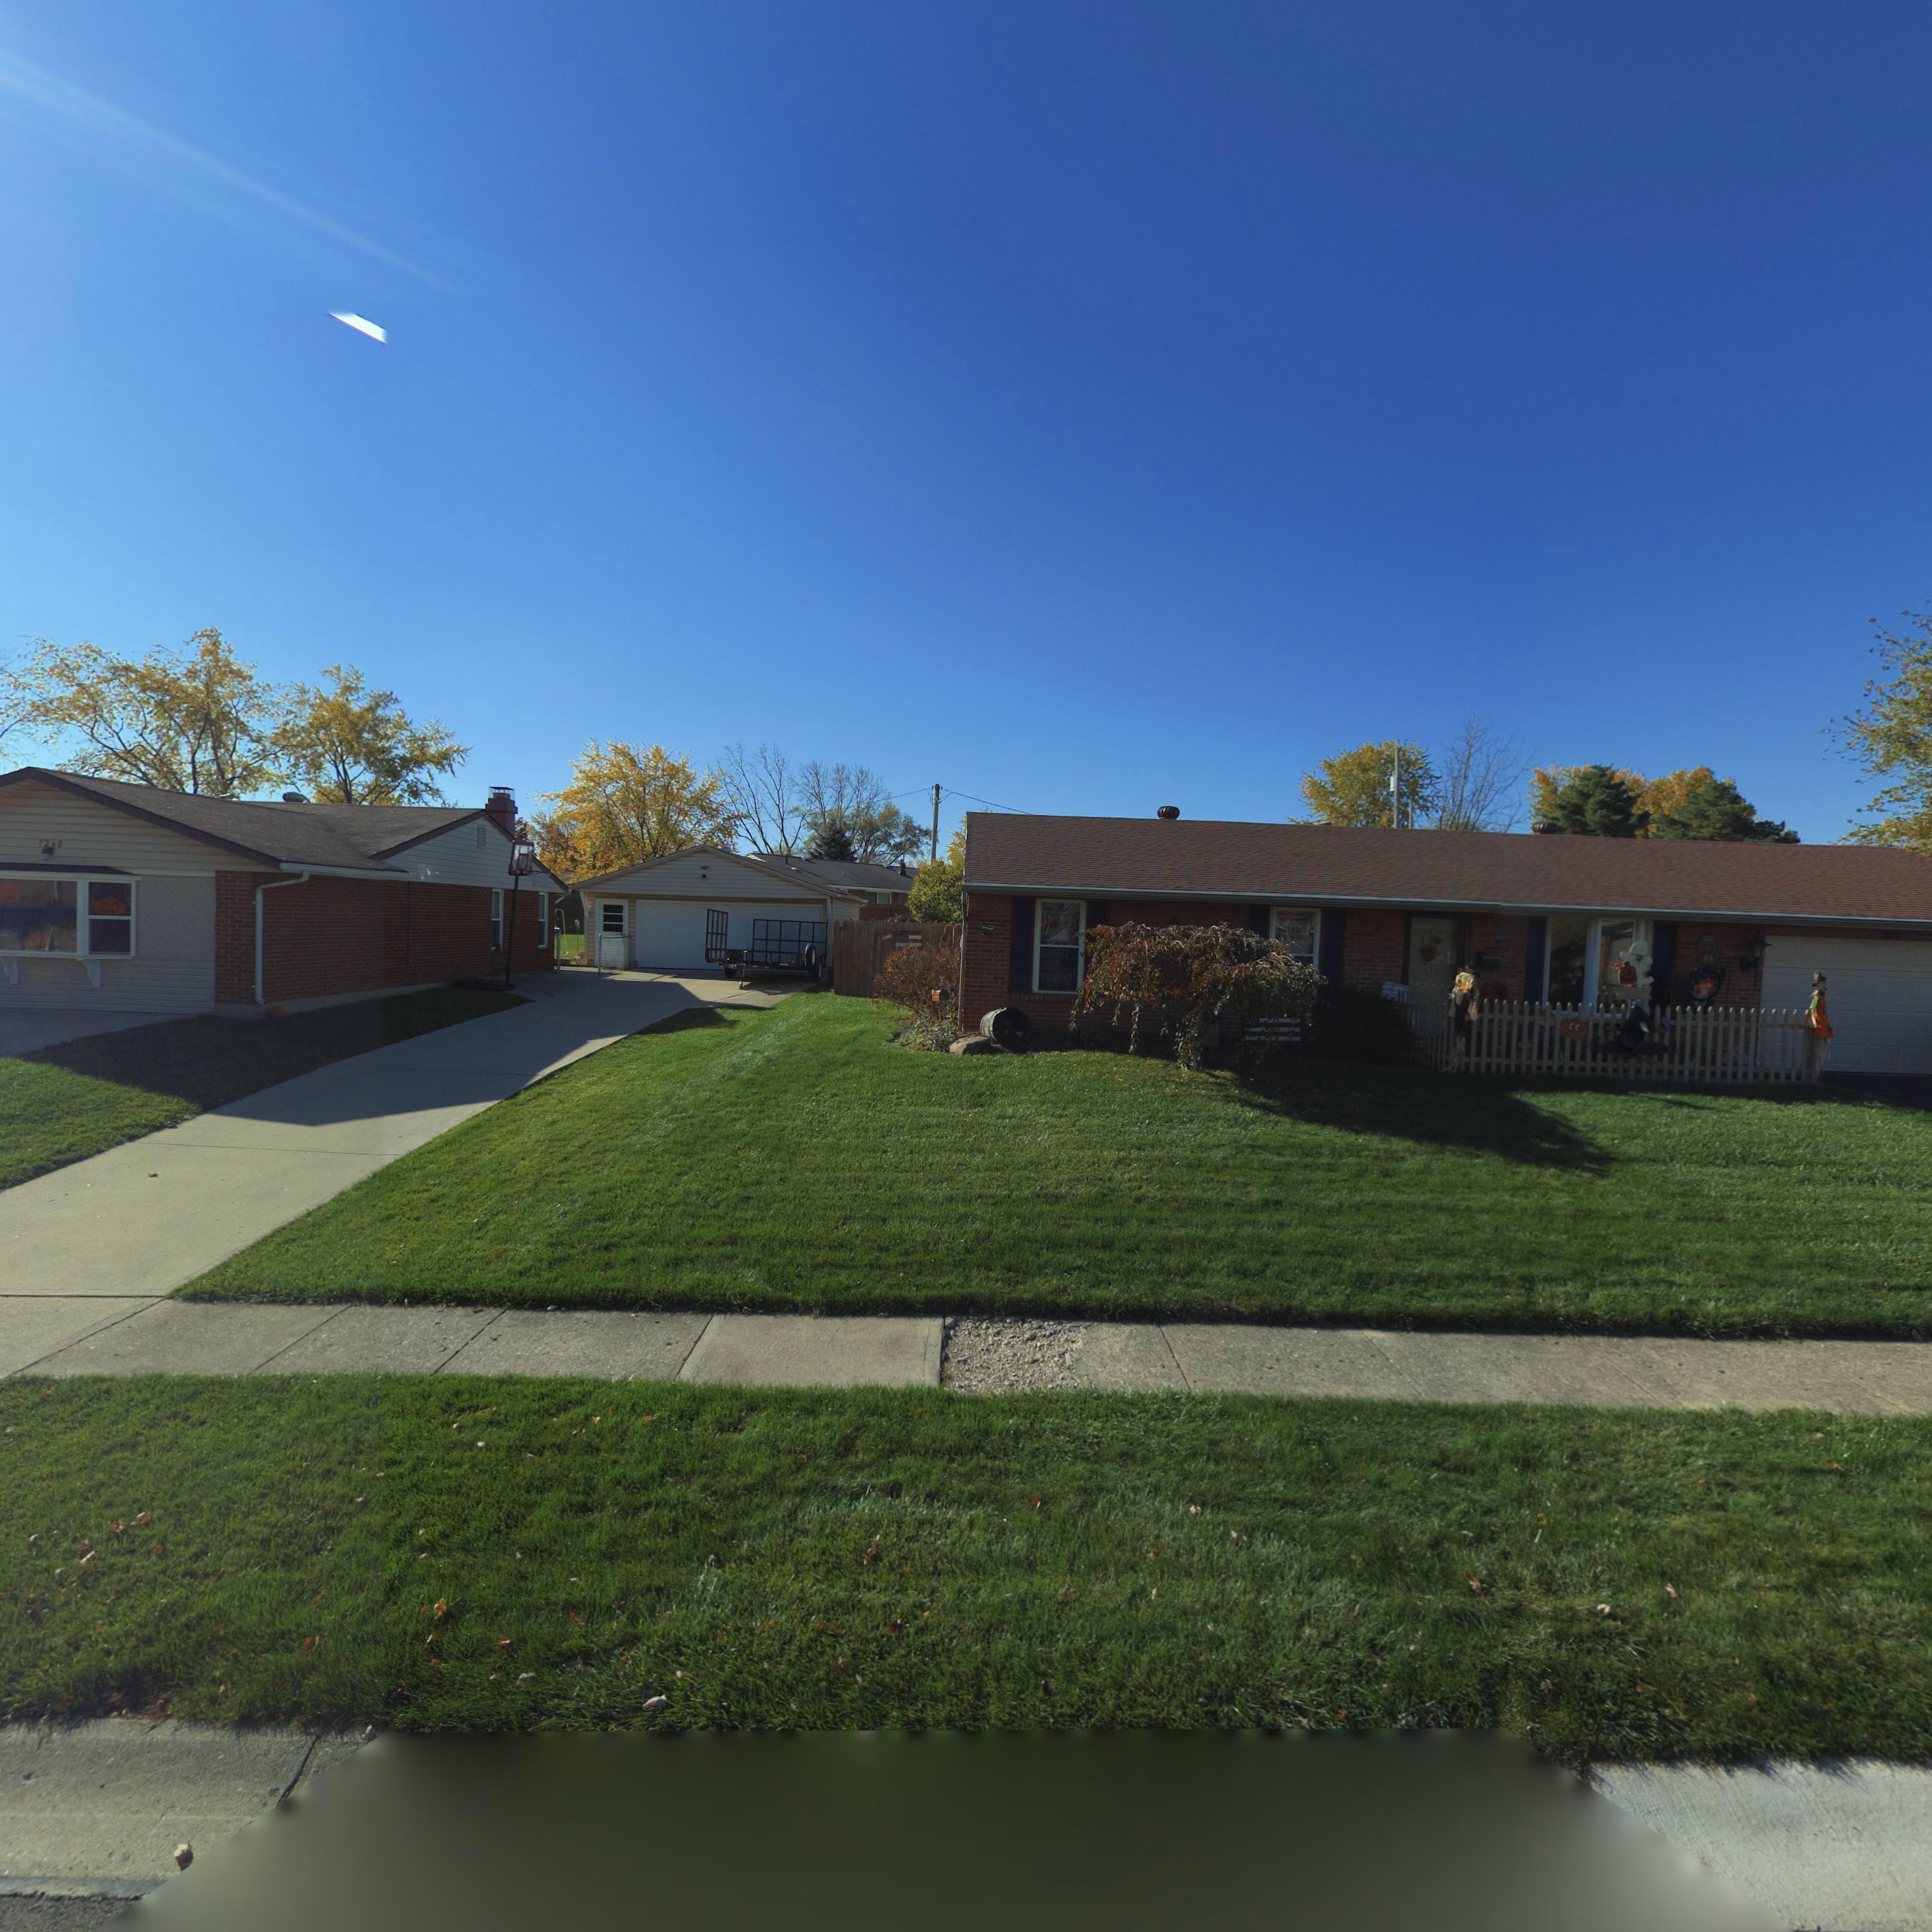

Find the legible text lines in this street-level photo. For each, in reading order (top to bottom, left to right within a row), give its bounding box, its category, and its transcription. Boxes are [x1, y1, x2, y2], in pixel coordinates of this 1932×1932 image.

[37, 838, 64, 849] StreetNumber: 7260